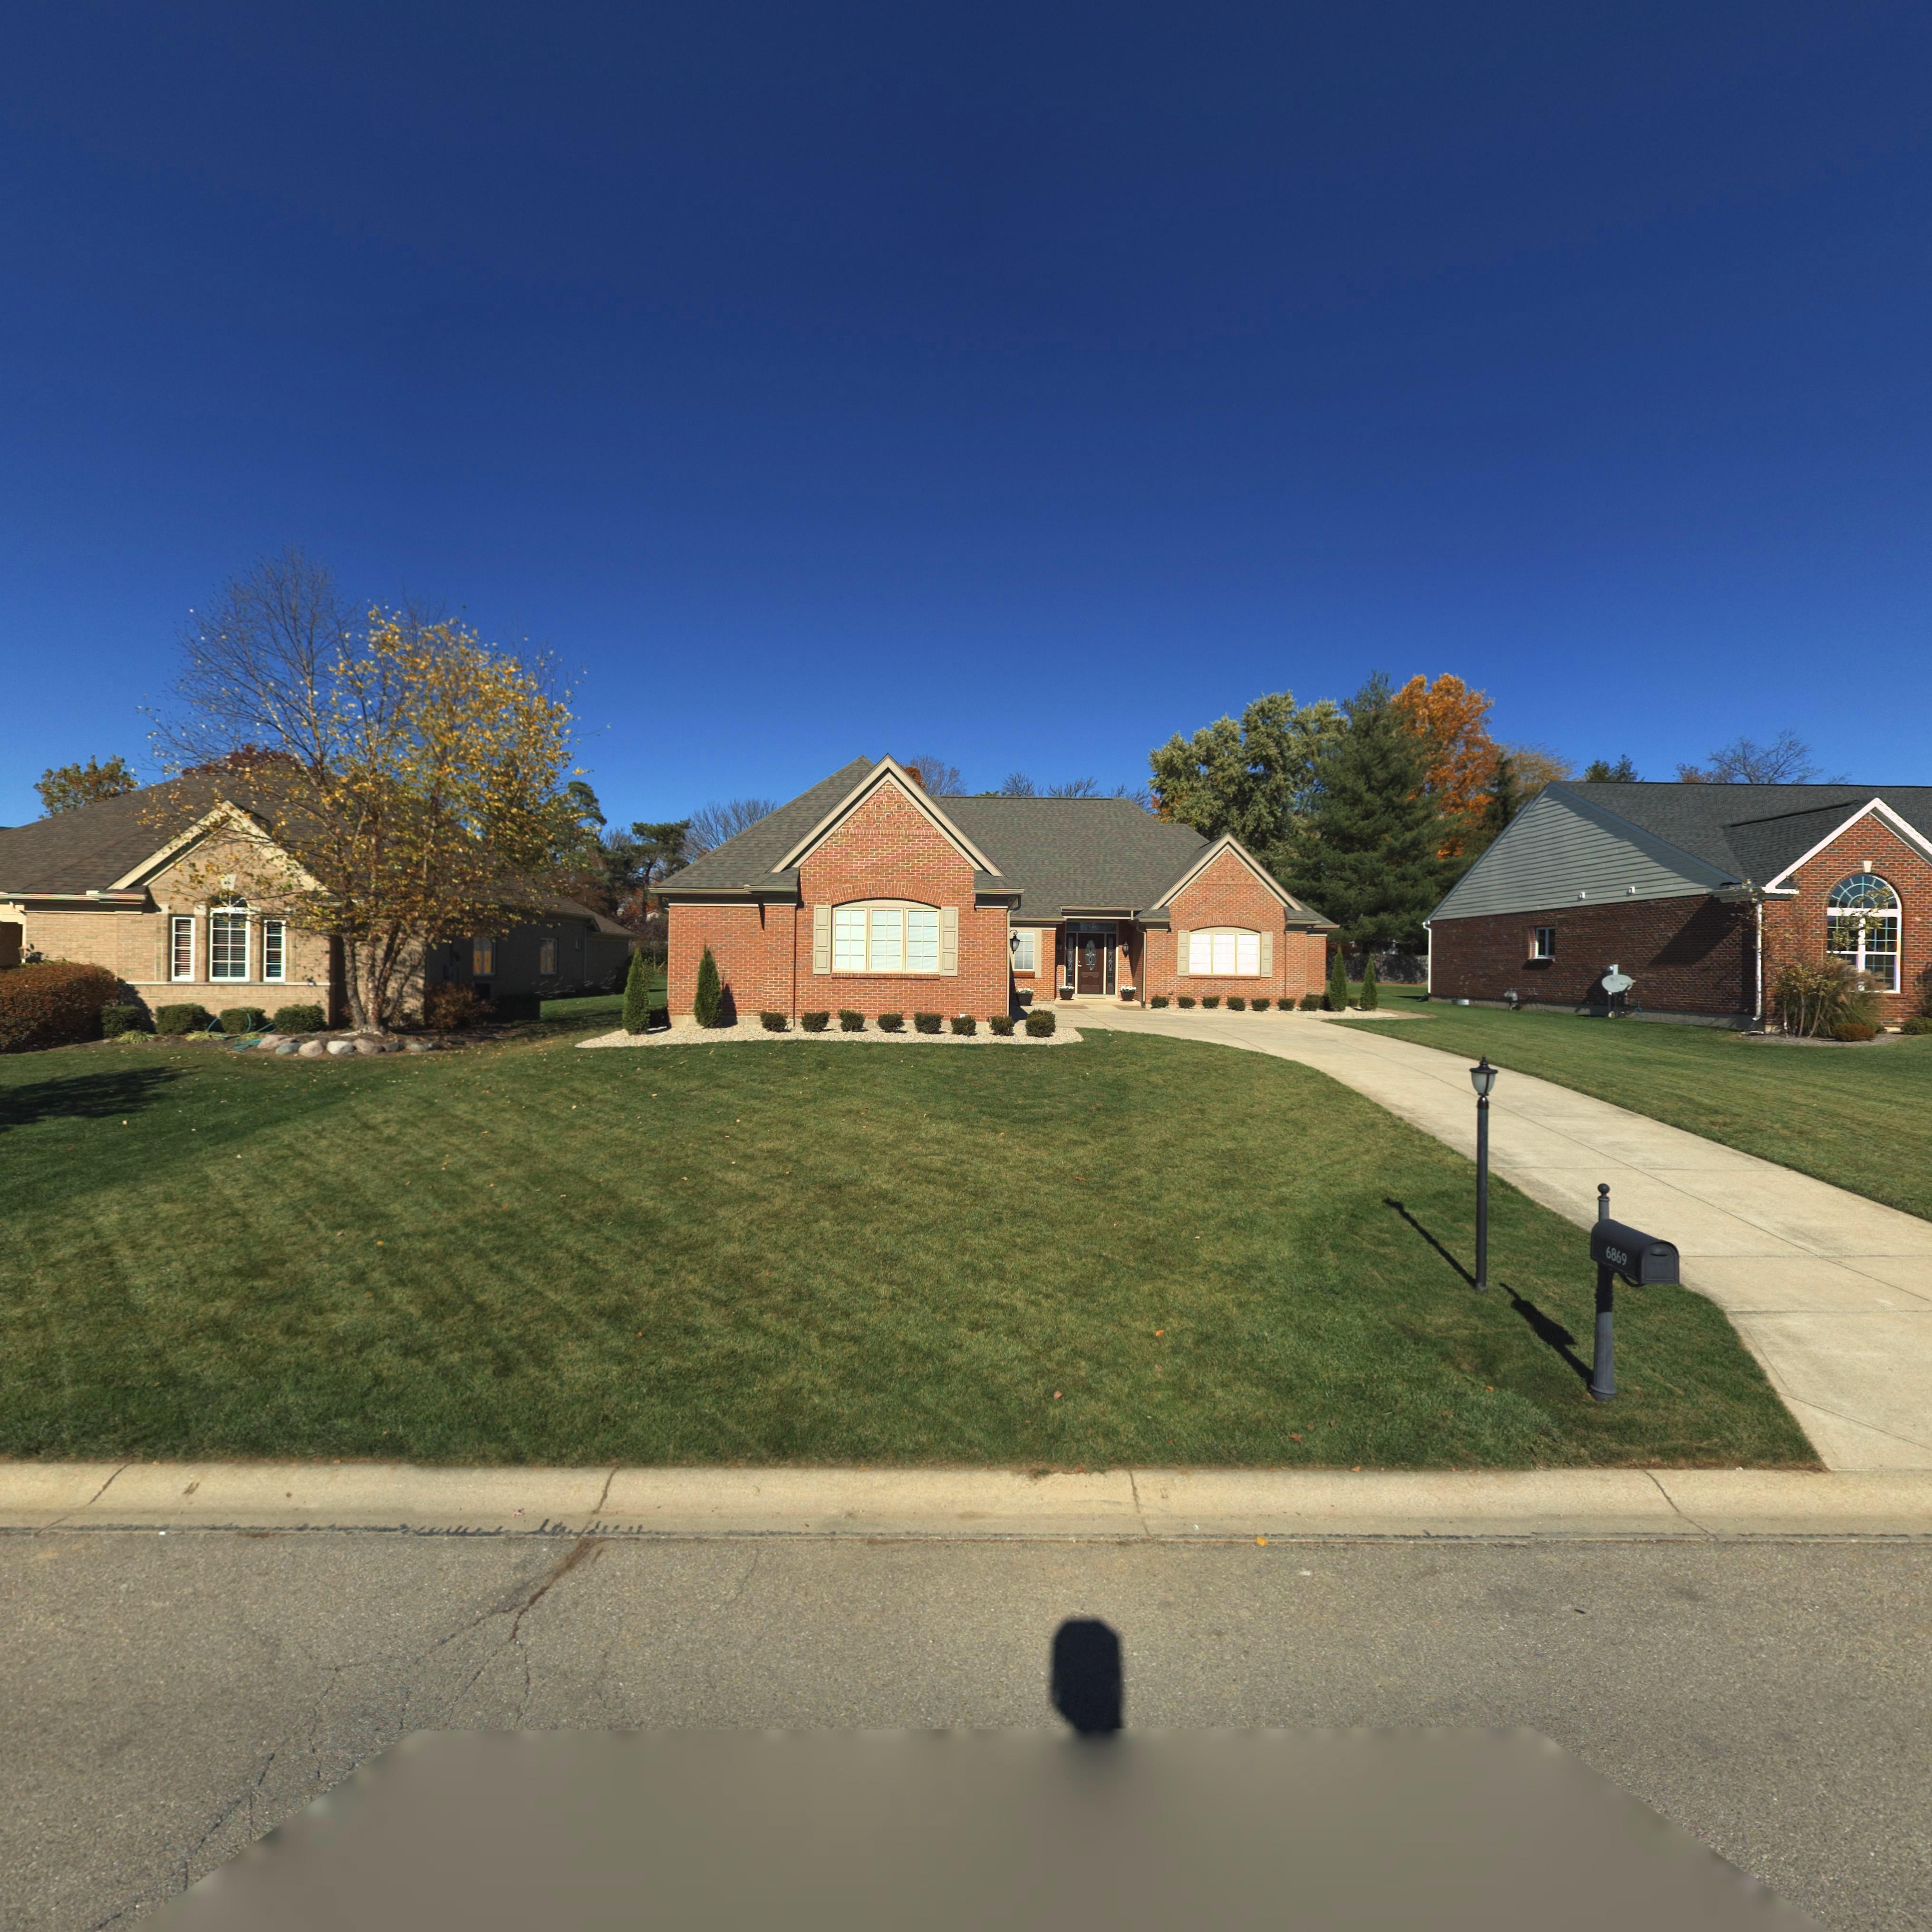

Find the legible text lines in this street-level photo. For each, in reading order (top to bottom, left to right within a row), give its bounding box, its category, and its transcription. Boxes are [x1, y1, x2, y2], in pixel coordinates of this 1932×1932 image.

[1604, 1244, 1628, 1267] StreetNumber: 6869